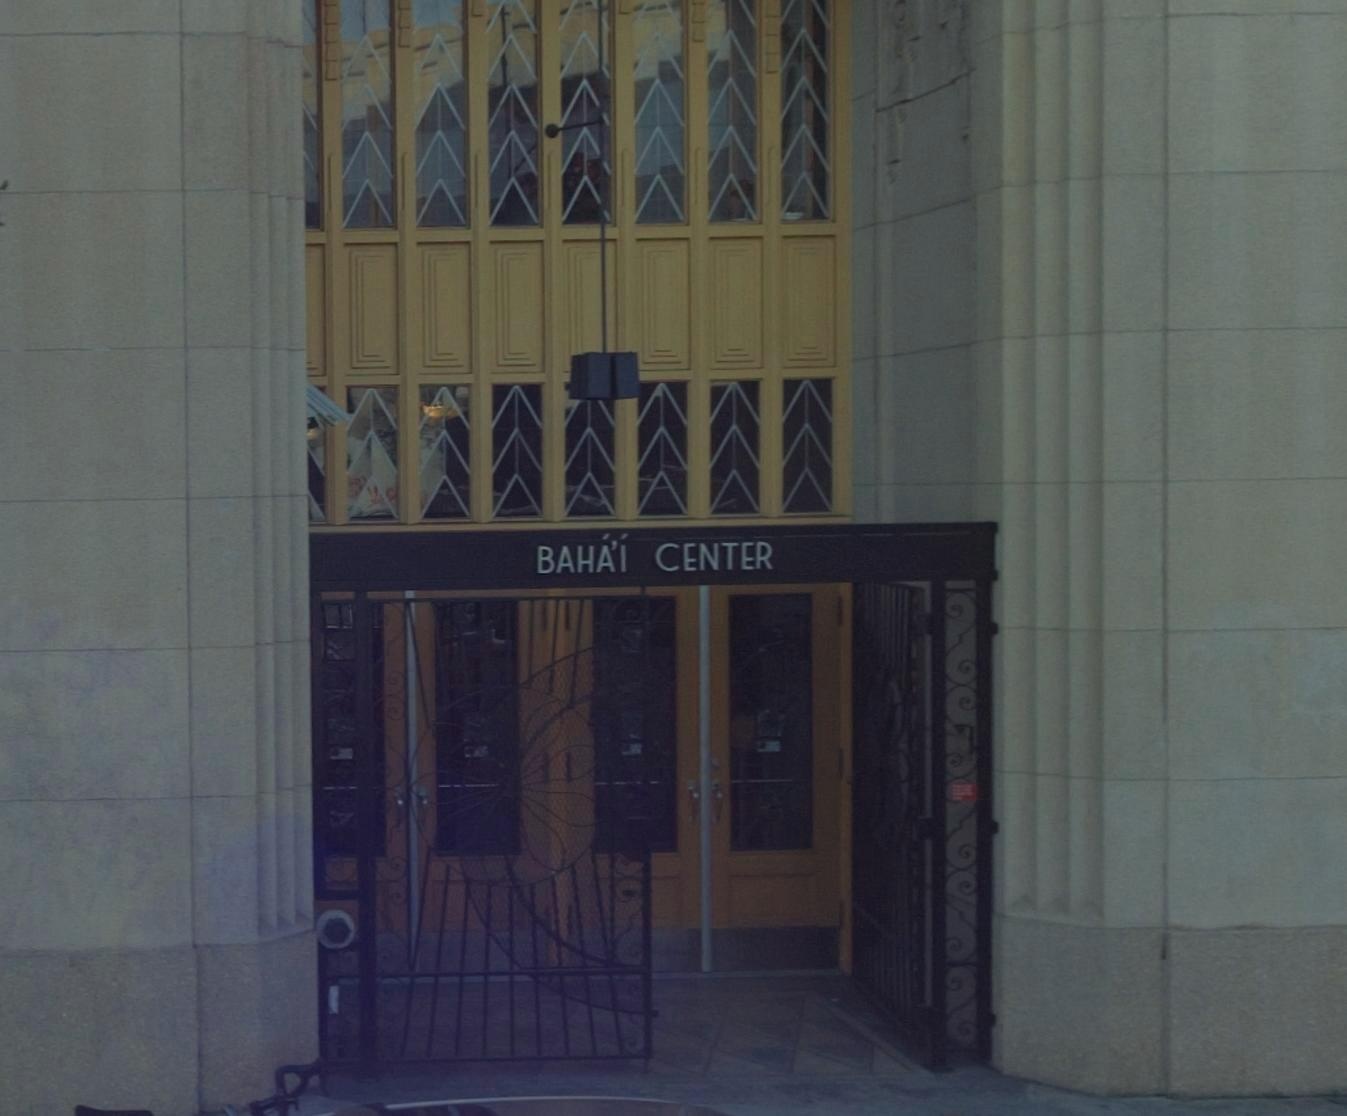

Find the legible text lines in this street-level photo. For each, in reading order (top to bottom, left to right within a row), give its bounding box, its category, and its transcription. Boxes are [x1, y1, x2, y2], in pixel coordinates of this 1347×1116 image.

[533, 538, 776, 578] BusinessName: BAHAI CENTER